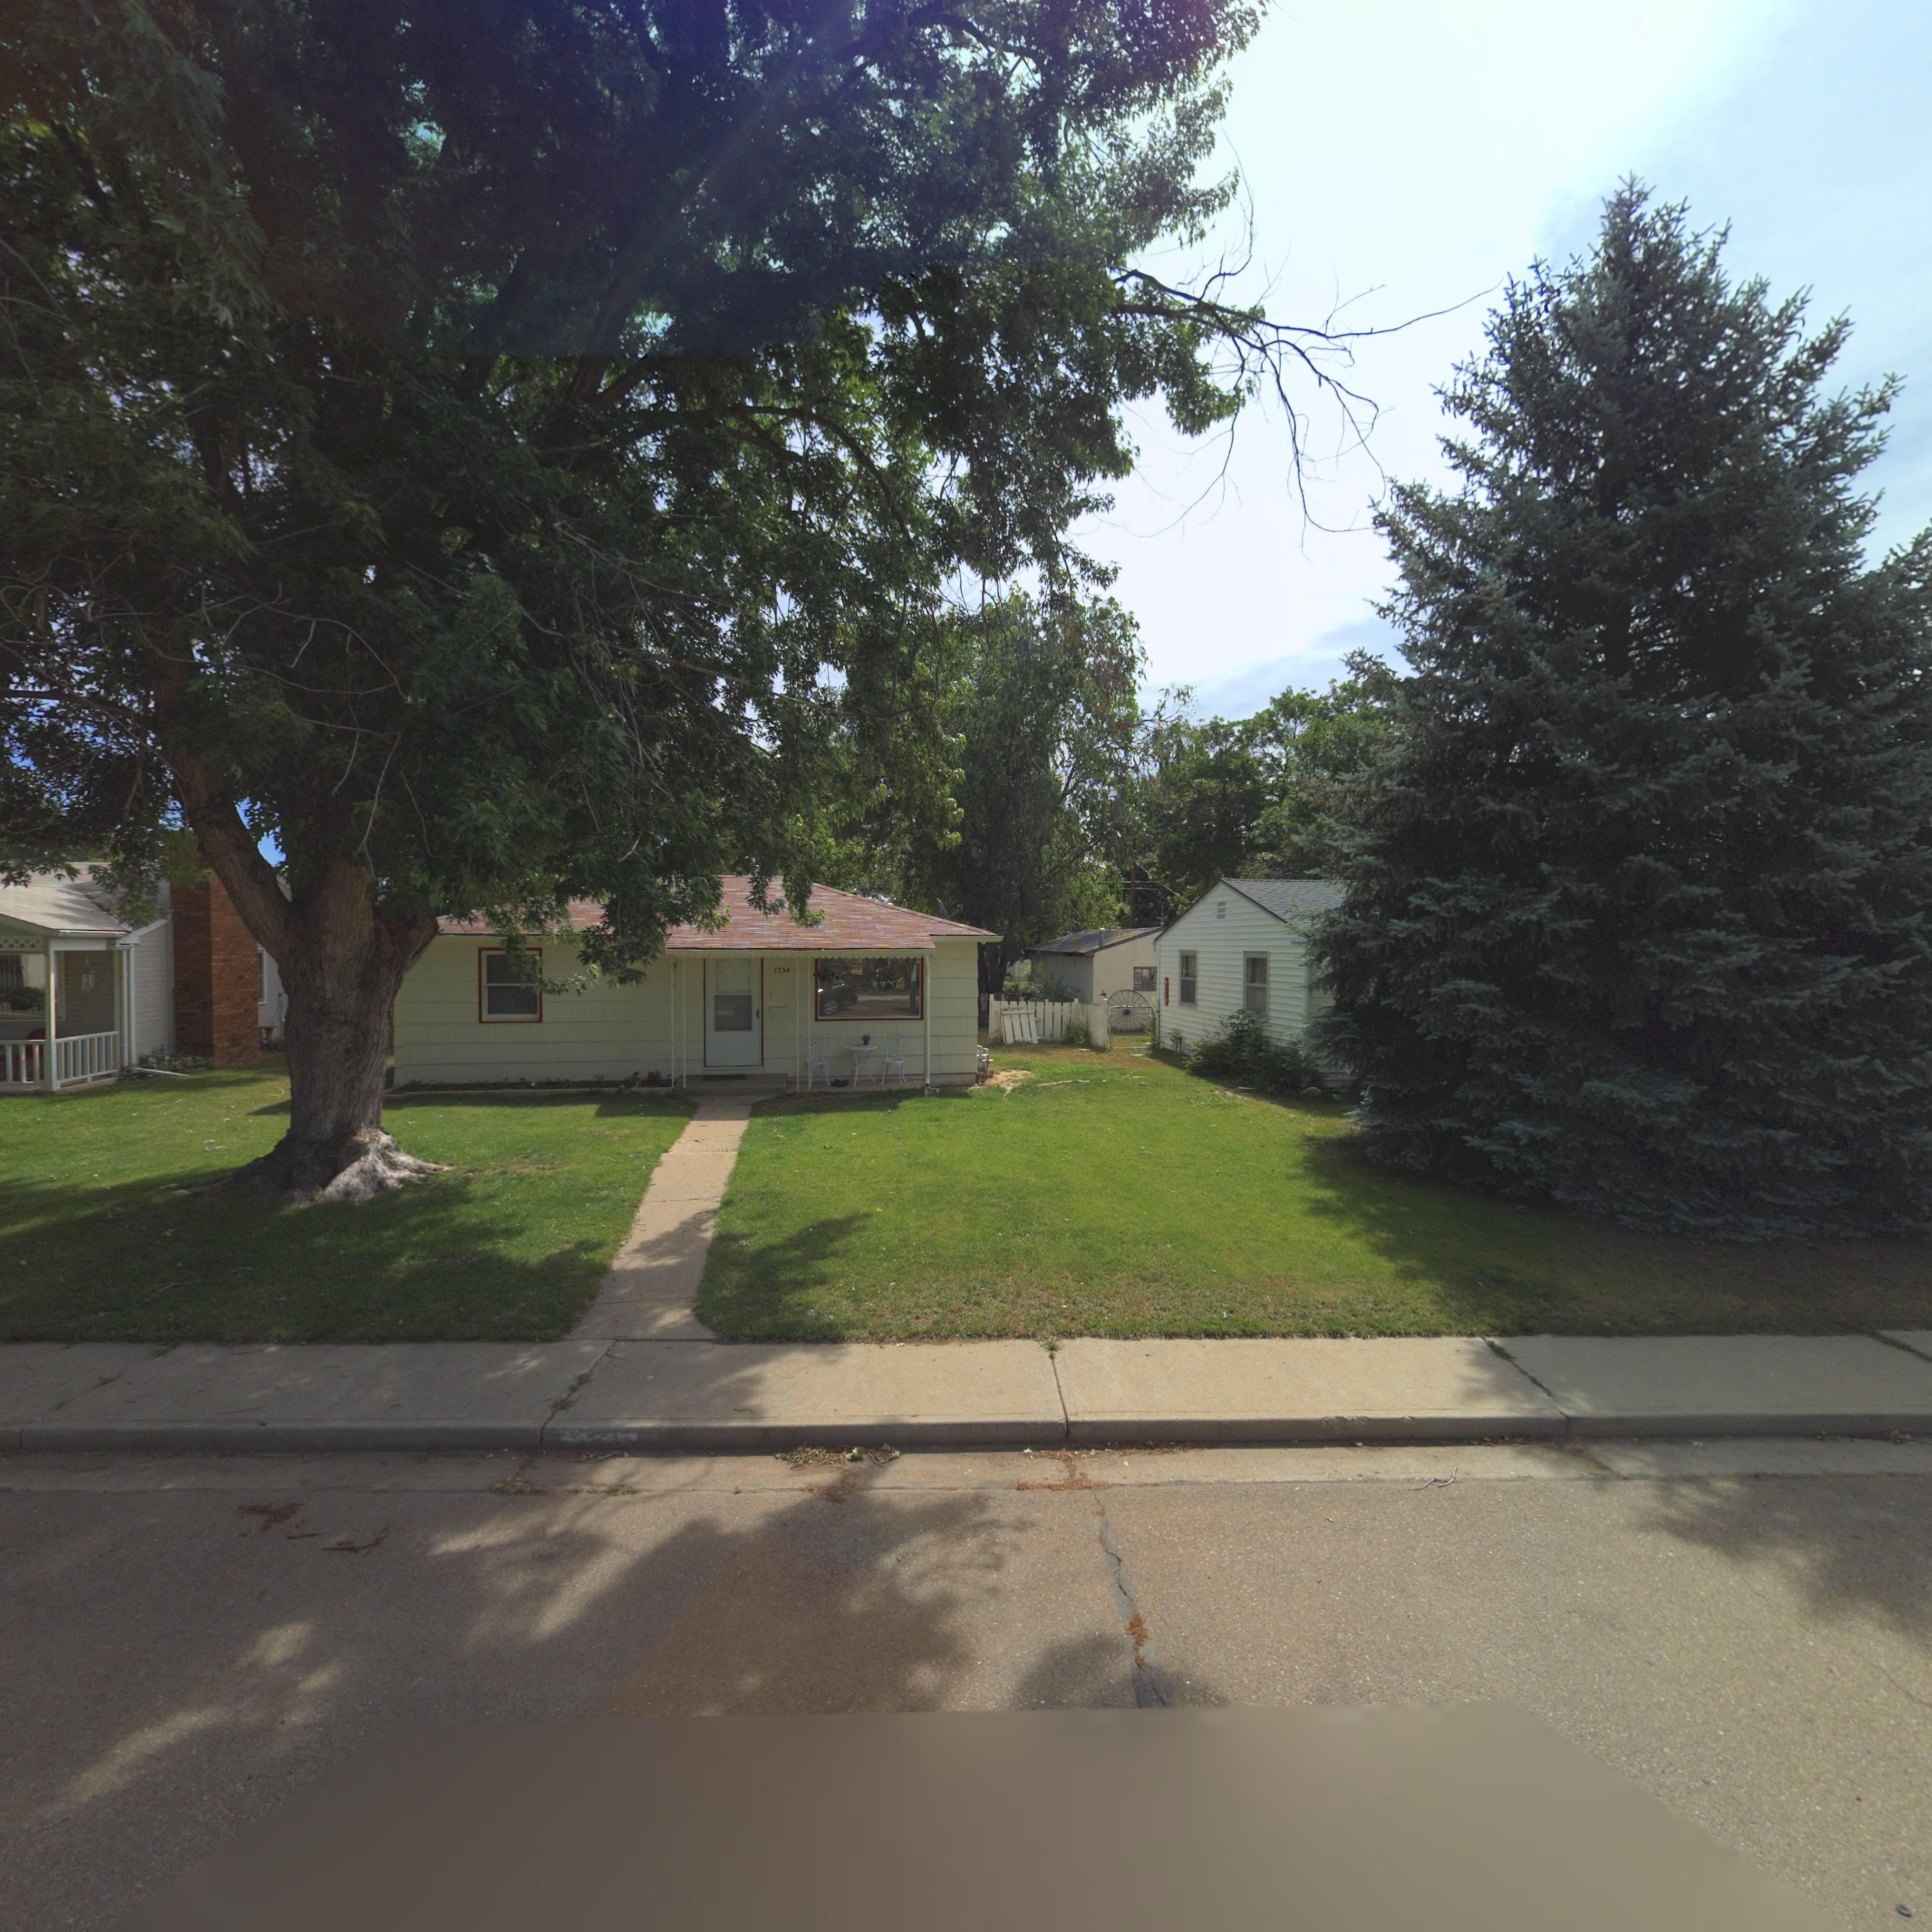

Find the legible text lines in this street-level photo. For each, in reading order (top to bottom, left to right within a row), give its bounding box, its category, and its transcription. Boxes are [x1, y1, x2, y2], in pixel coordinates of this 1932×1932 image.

[773, 966, 790, 974] StreetNumber: 1334